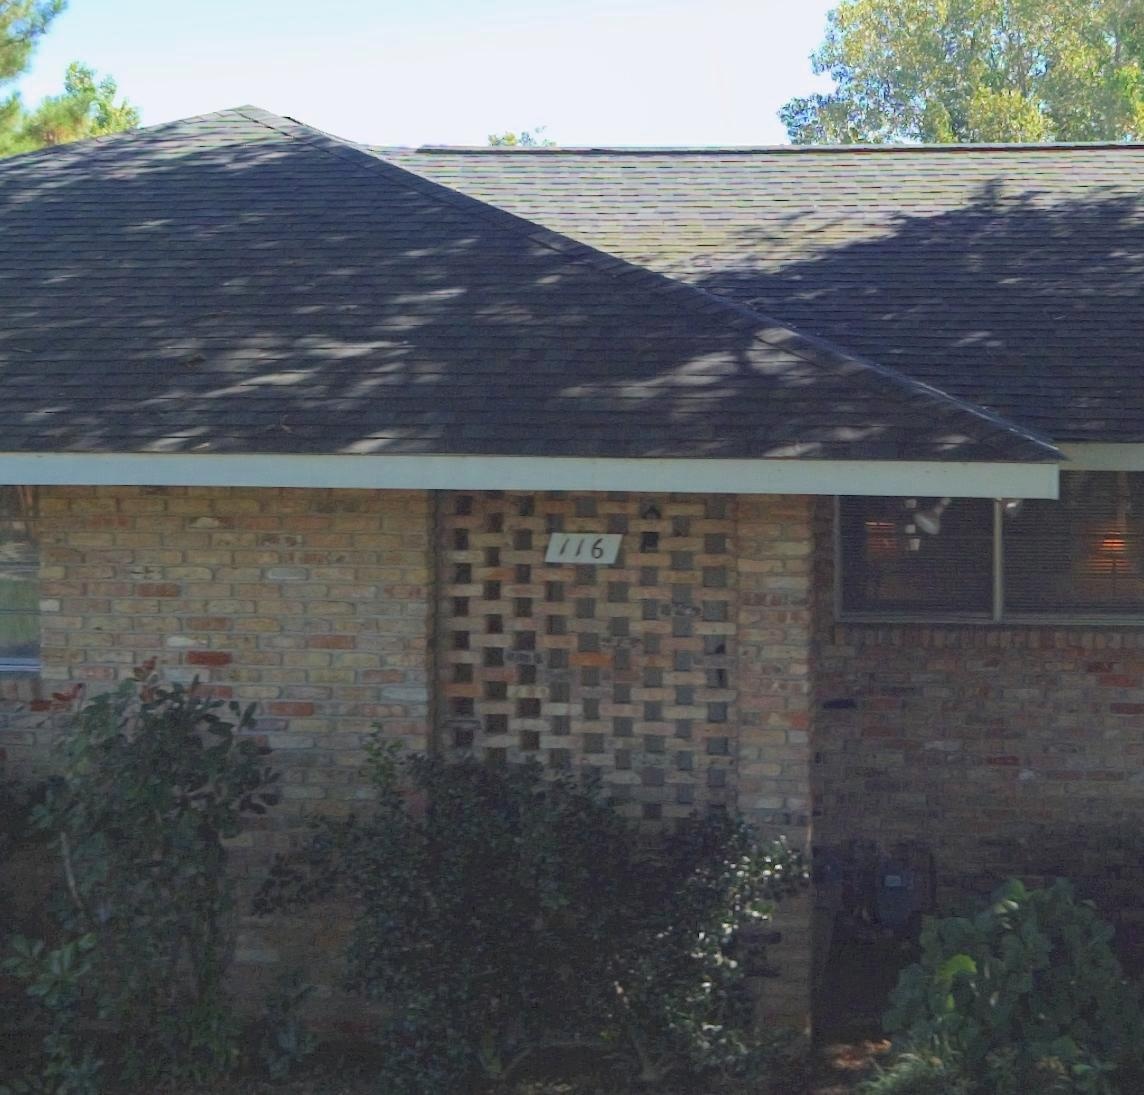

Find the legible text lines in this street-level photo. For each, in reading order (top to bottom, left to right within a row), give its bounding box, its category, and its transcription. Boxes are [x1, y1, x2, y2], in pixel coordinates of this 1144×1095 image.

[554, 535, 605, 561] StreetNumber: 116